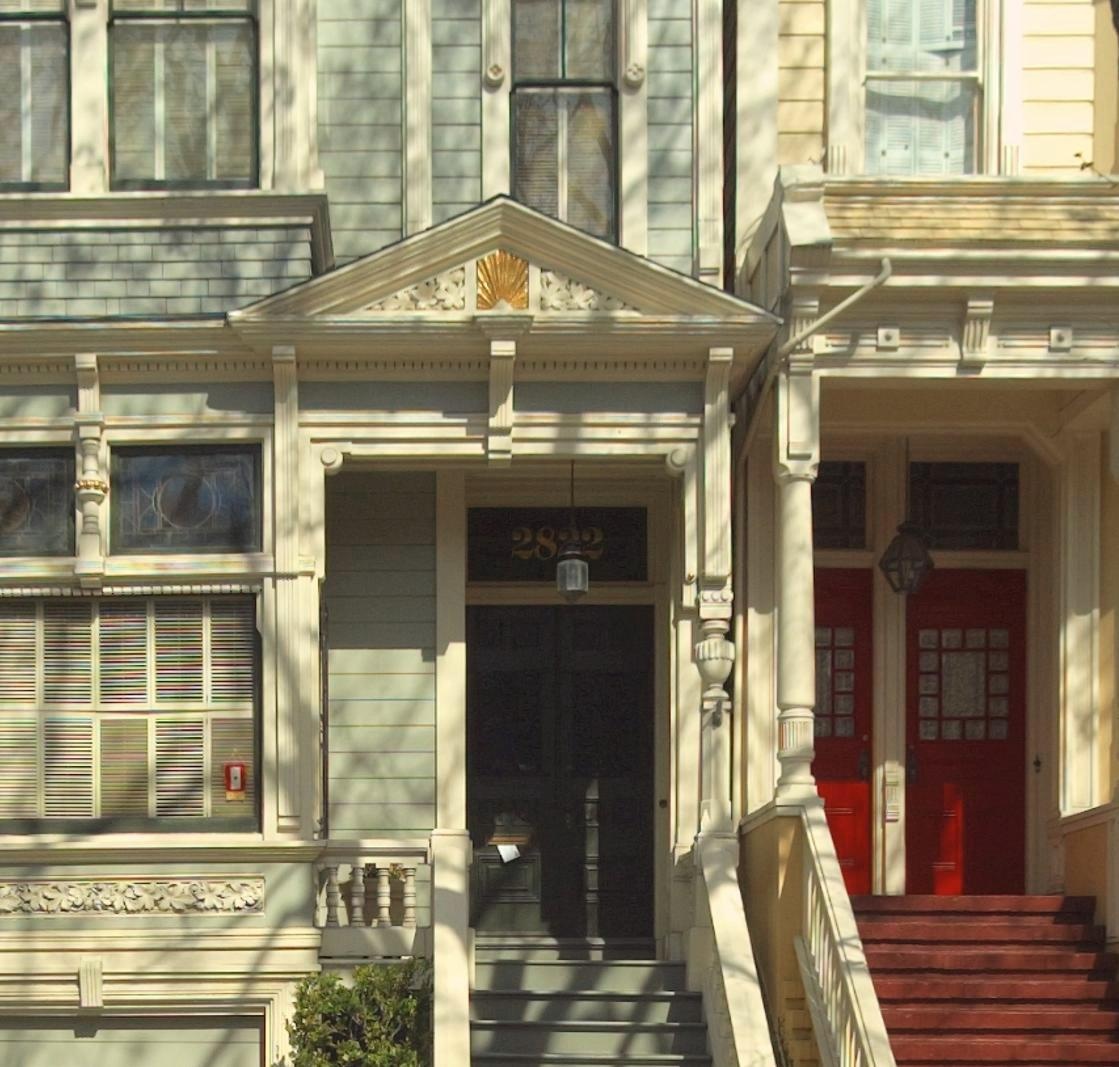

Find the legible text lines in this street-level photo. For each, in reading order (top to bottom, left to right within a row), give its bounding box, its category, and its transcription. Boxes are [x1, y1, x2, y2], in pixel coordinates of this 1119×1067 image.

[509, 524, 559, 562] StreetNumber: 28